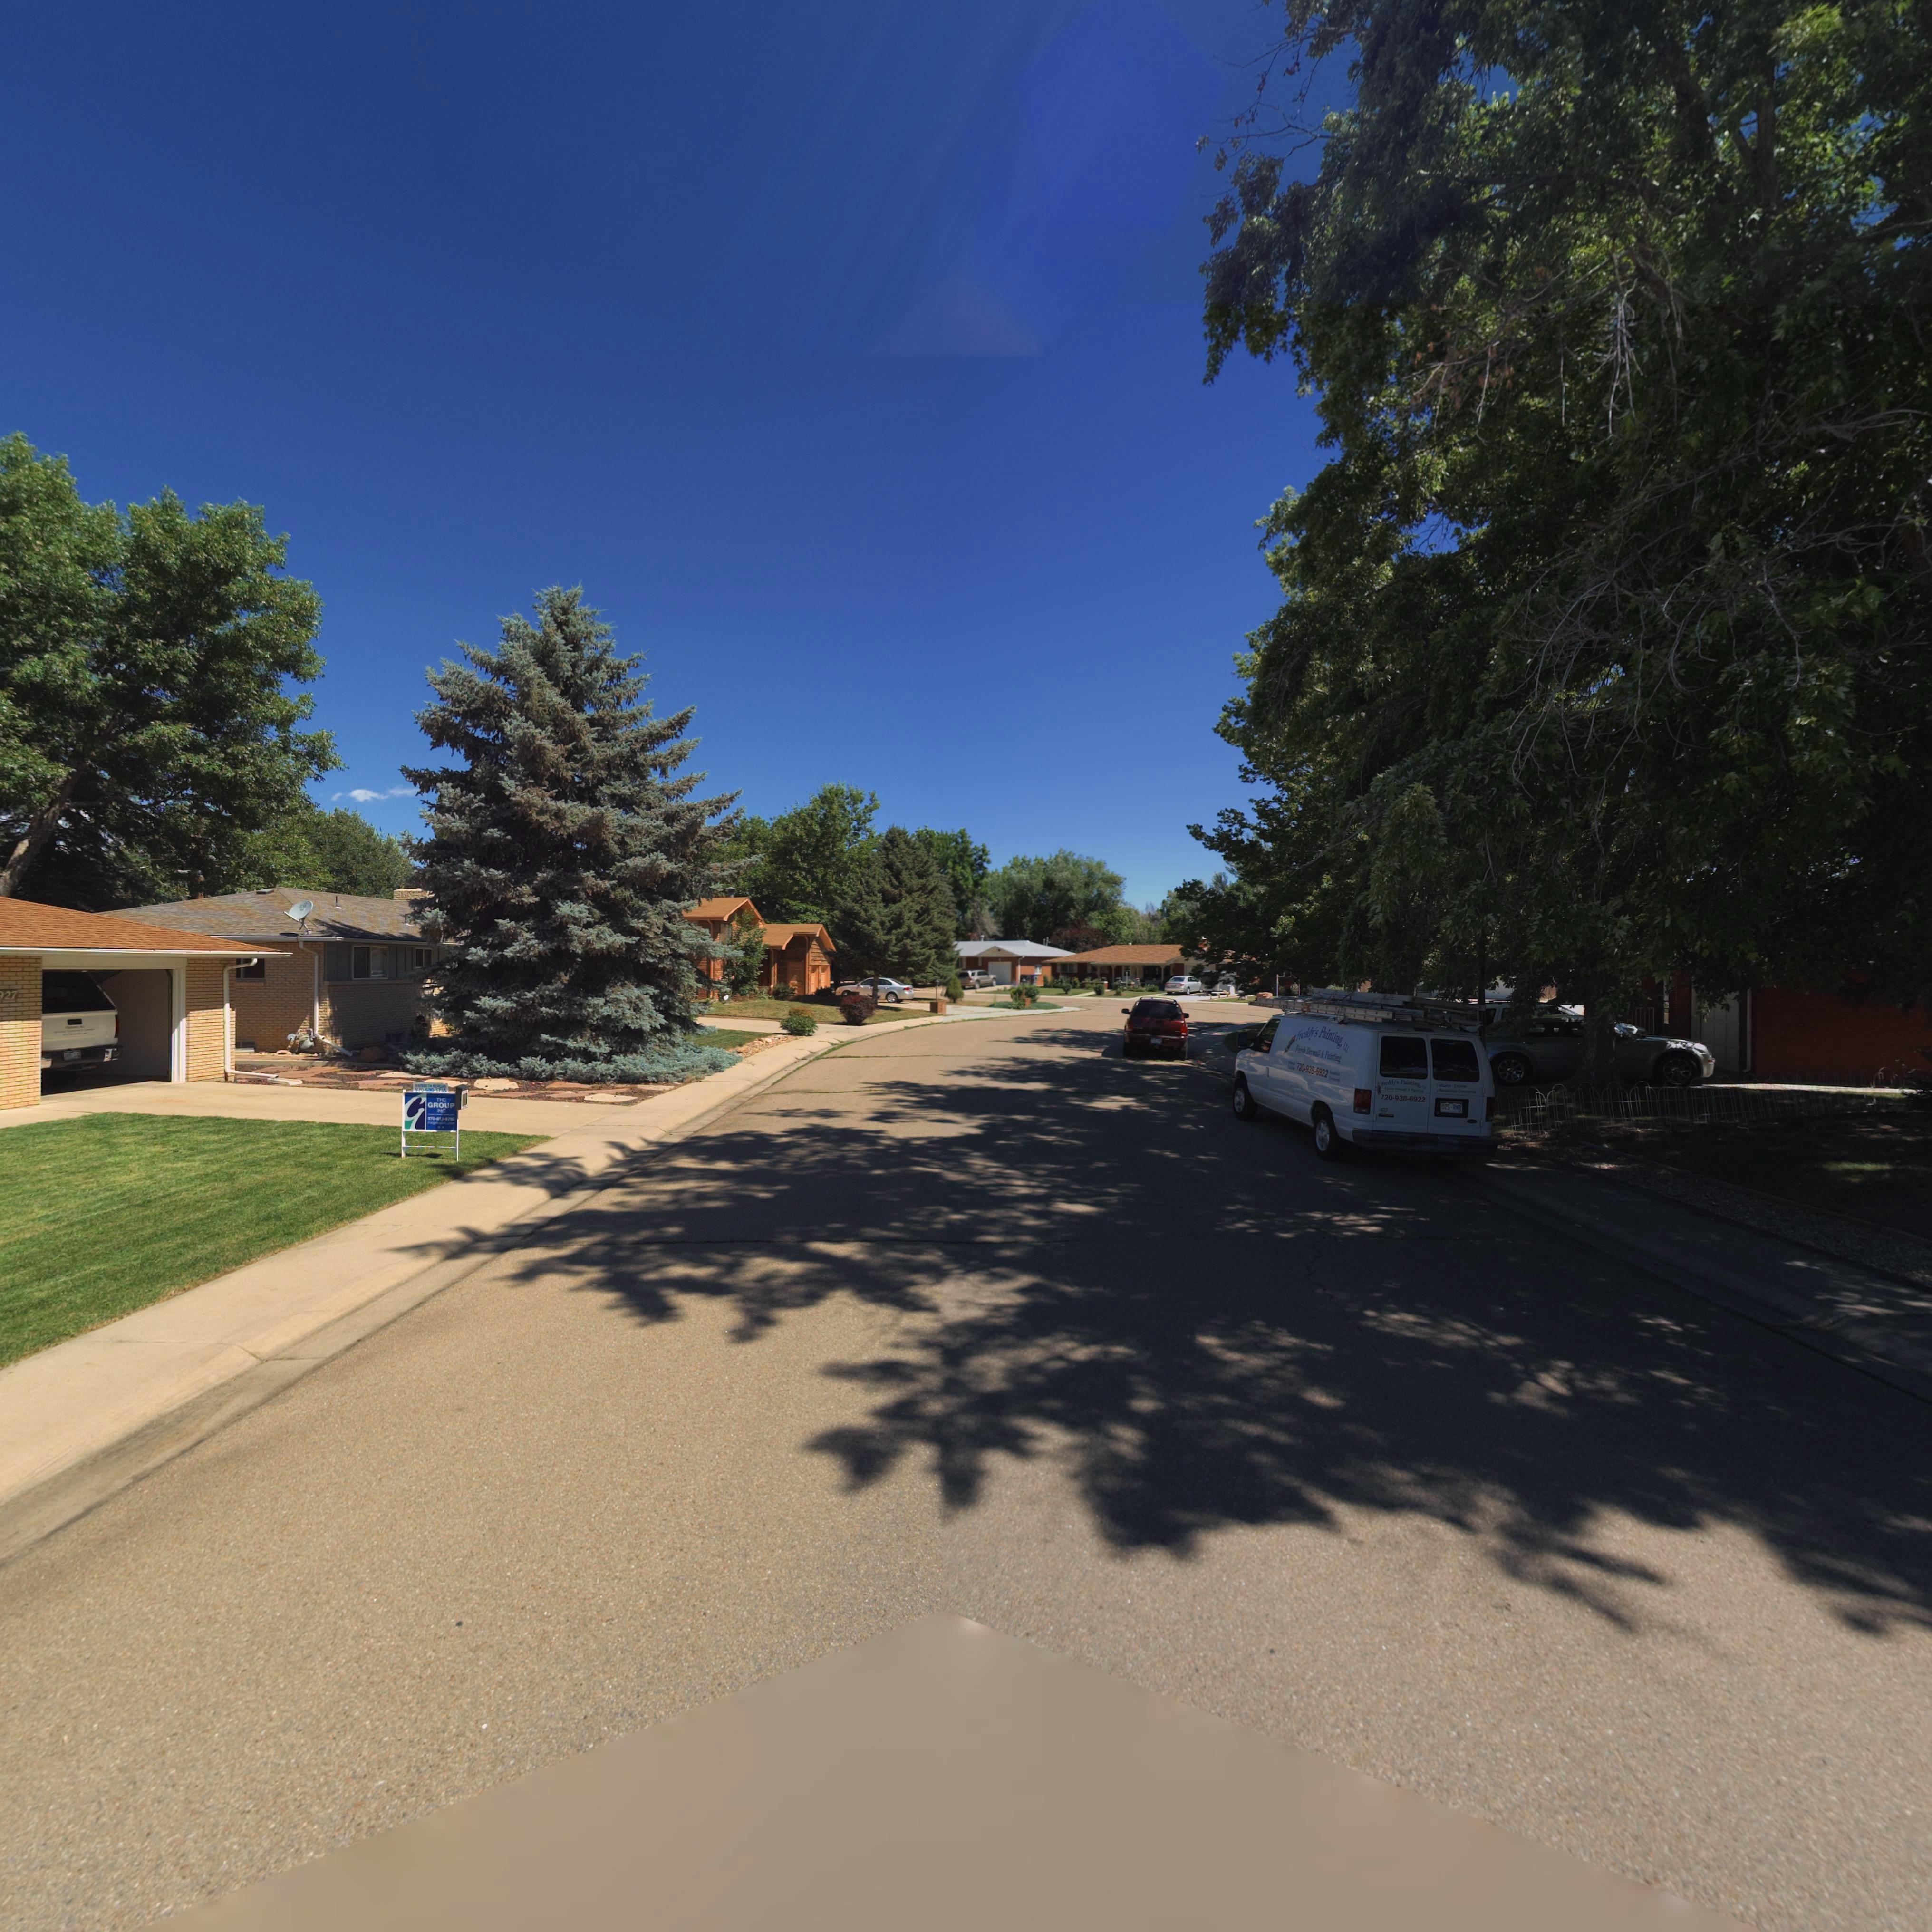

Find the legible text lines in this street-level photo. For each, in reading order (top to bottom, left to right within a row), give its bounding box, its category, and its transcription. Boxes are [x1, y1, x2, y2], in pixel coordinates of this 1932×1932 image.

[3, 990, 19, 1000] StreetNumber: 27